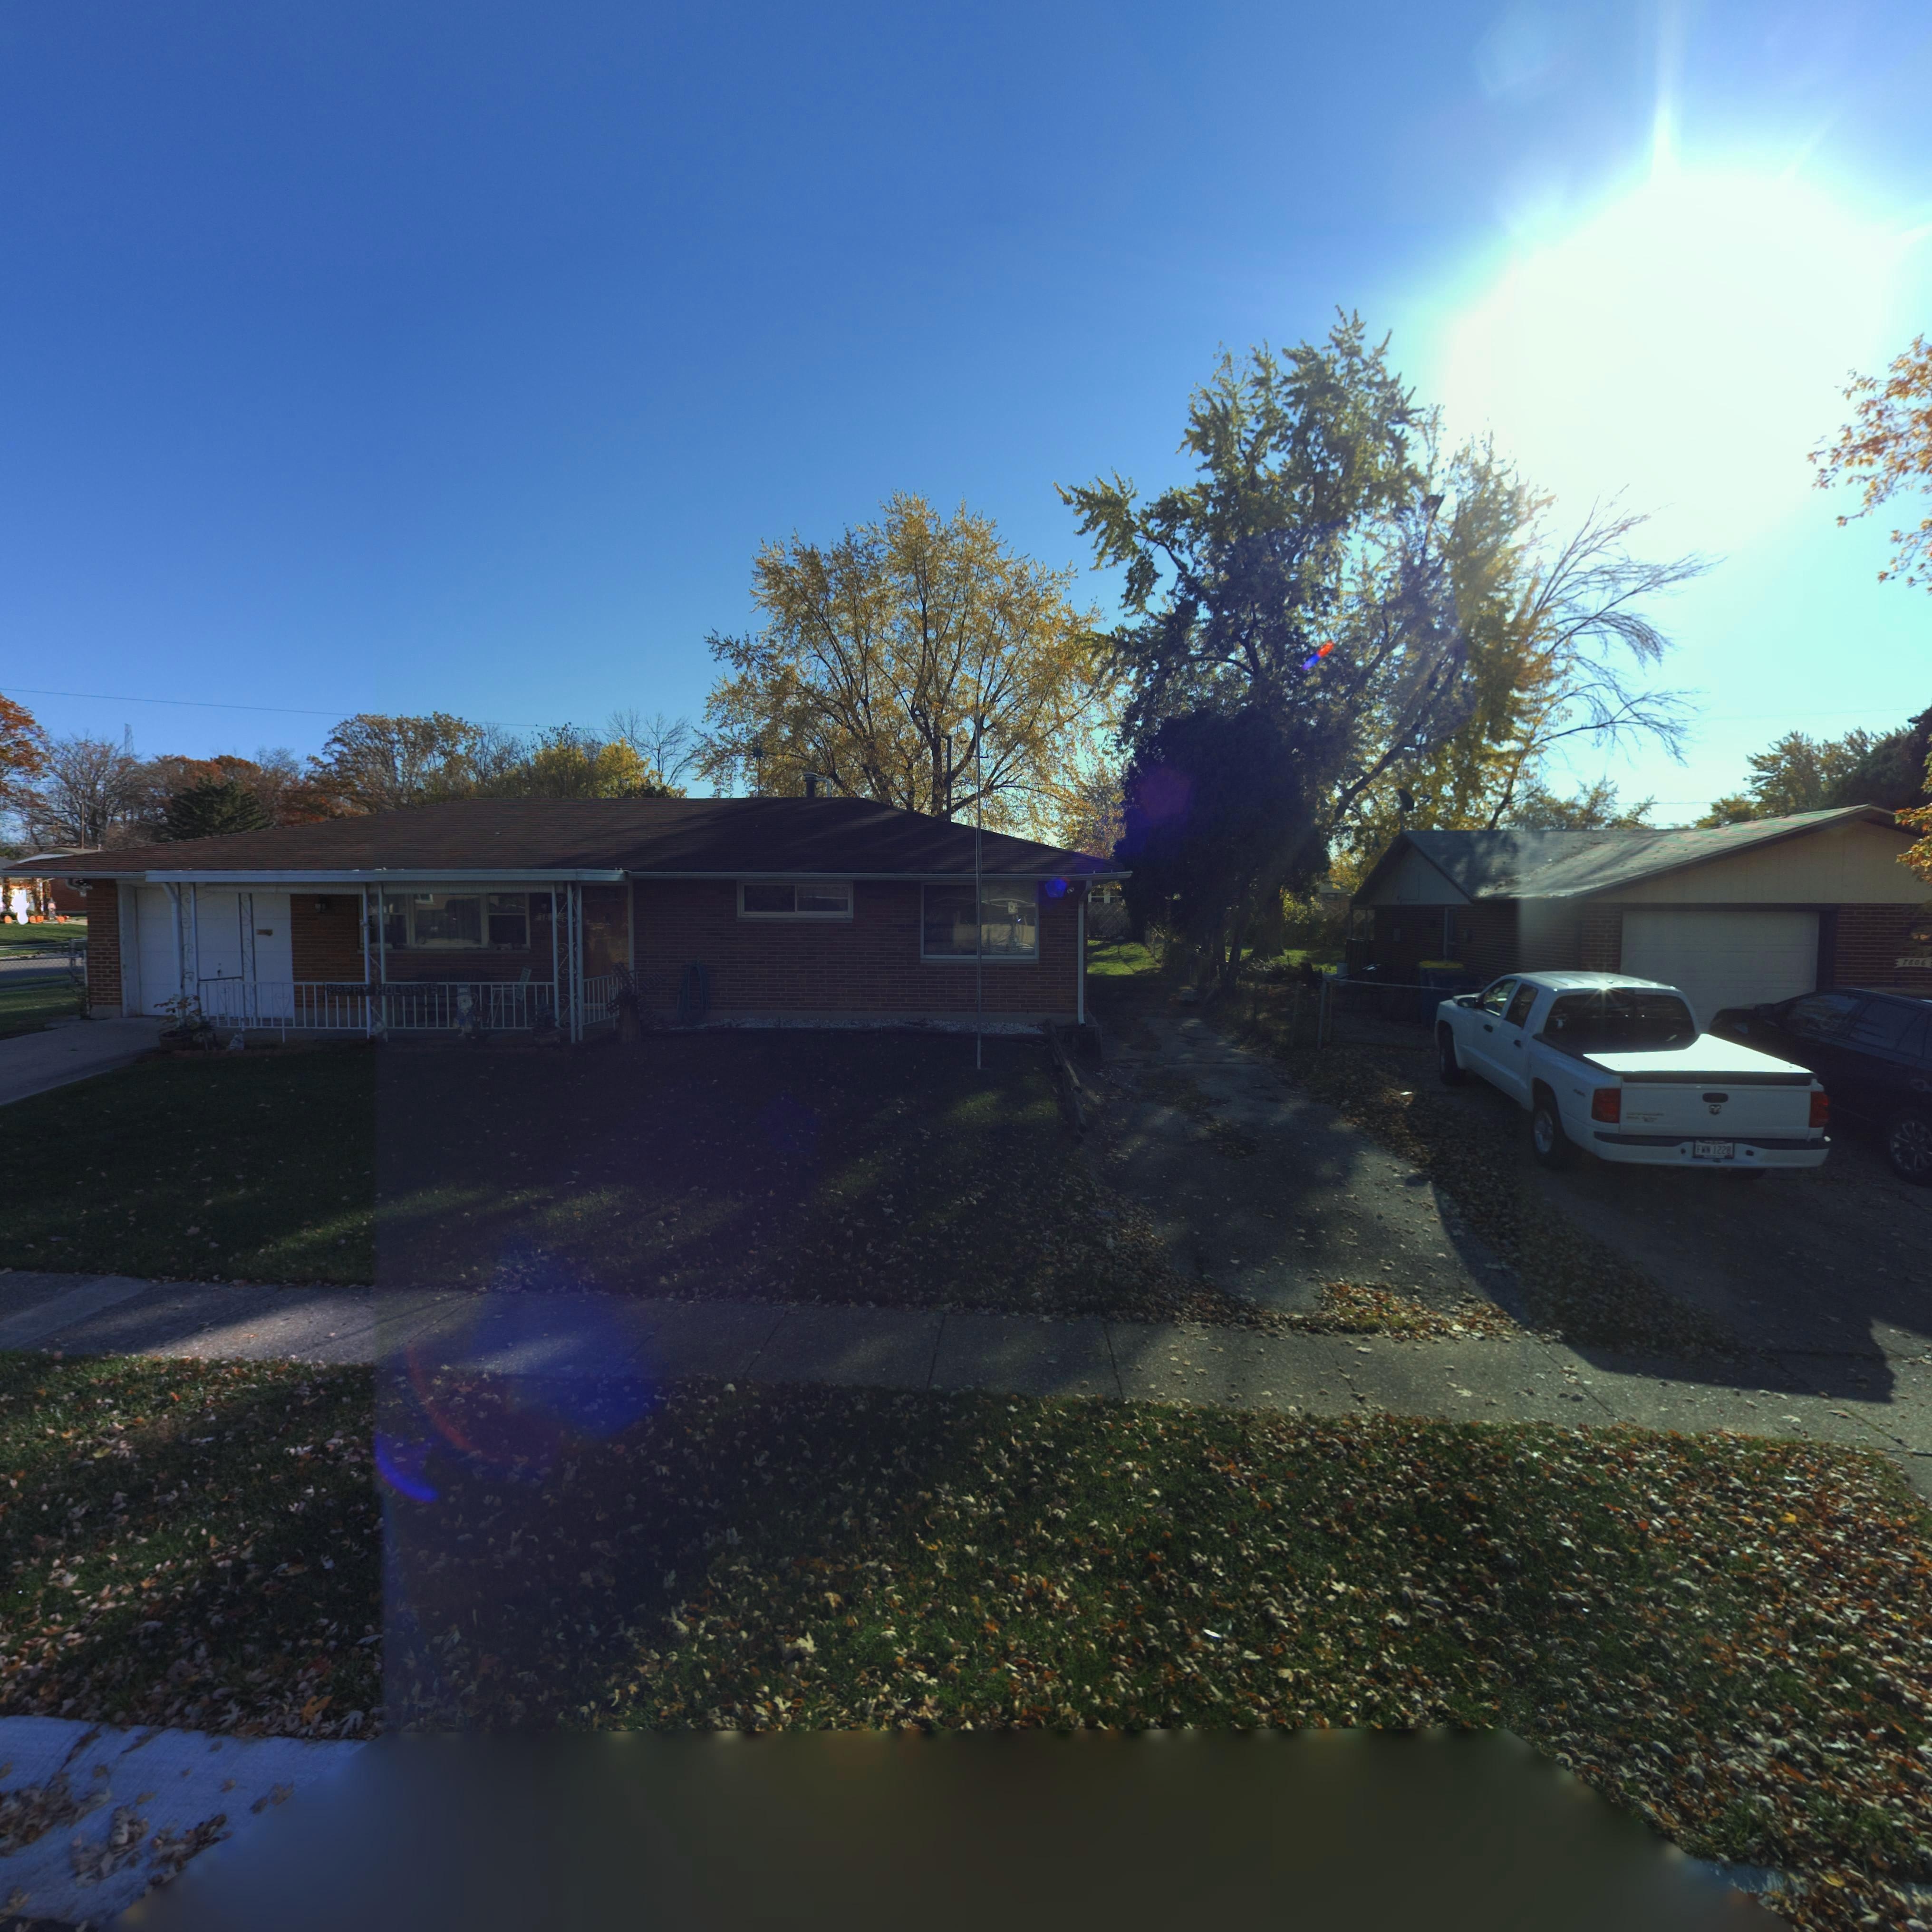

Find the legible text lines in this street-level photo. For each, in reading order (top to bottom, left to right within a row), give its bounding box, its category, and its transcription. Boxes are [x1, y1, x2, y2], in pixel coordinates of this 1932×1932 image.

[539, 913, 550, 922] StreetNumber: 78
[1902, 958, 1927, 966] StreetNumber: 7806